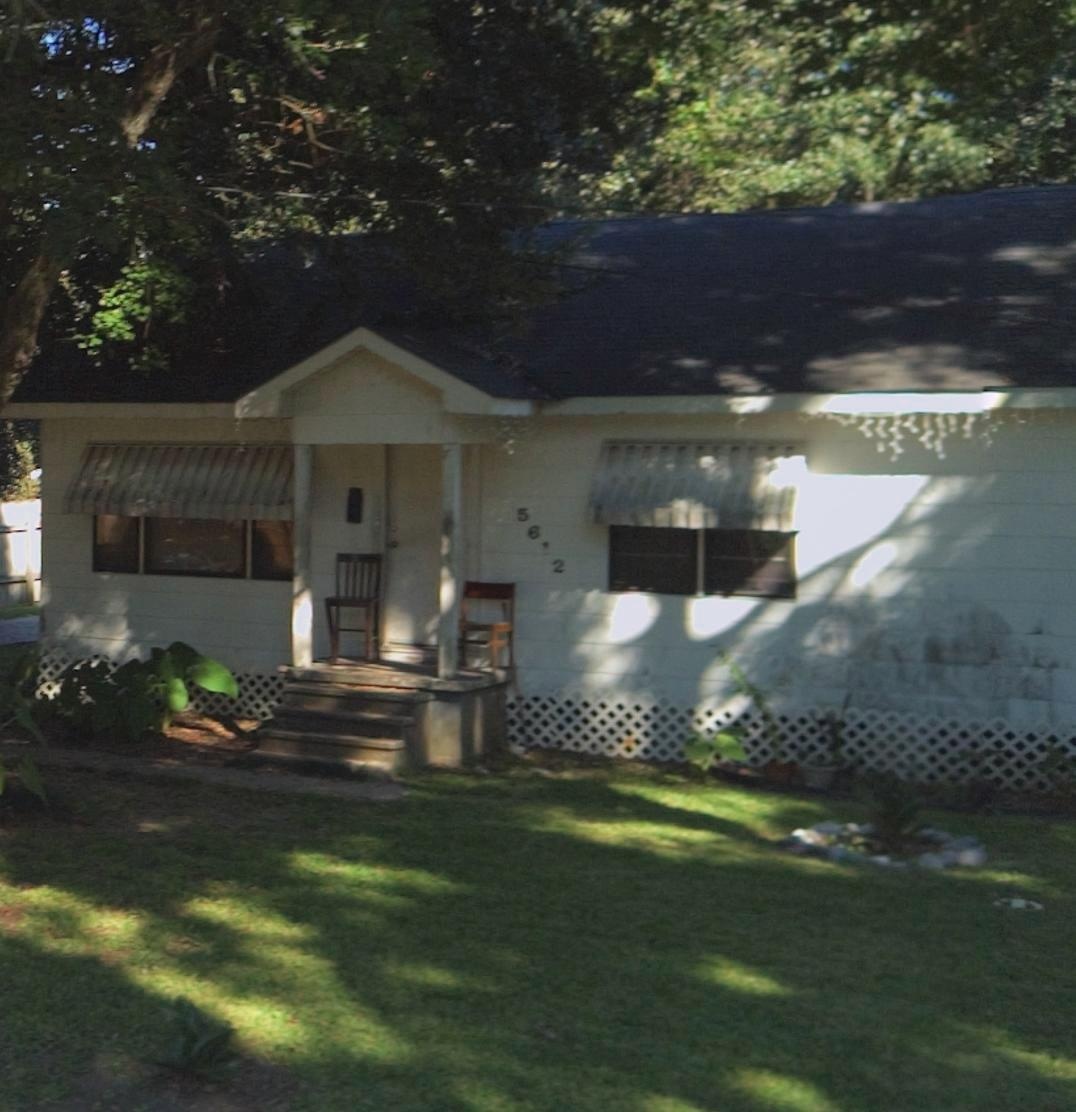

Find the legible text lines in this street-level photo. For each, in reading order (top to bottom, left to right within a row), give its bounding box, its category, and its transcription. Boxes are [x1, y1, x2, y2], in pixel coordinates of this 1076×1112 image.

[516, 507, 565, 574] StreetNumber: 56*2